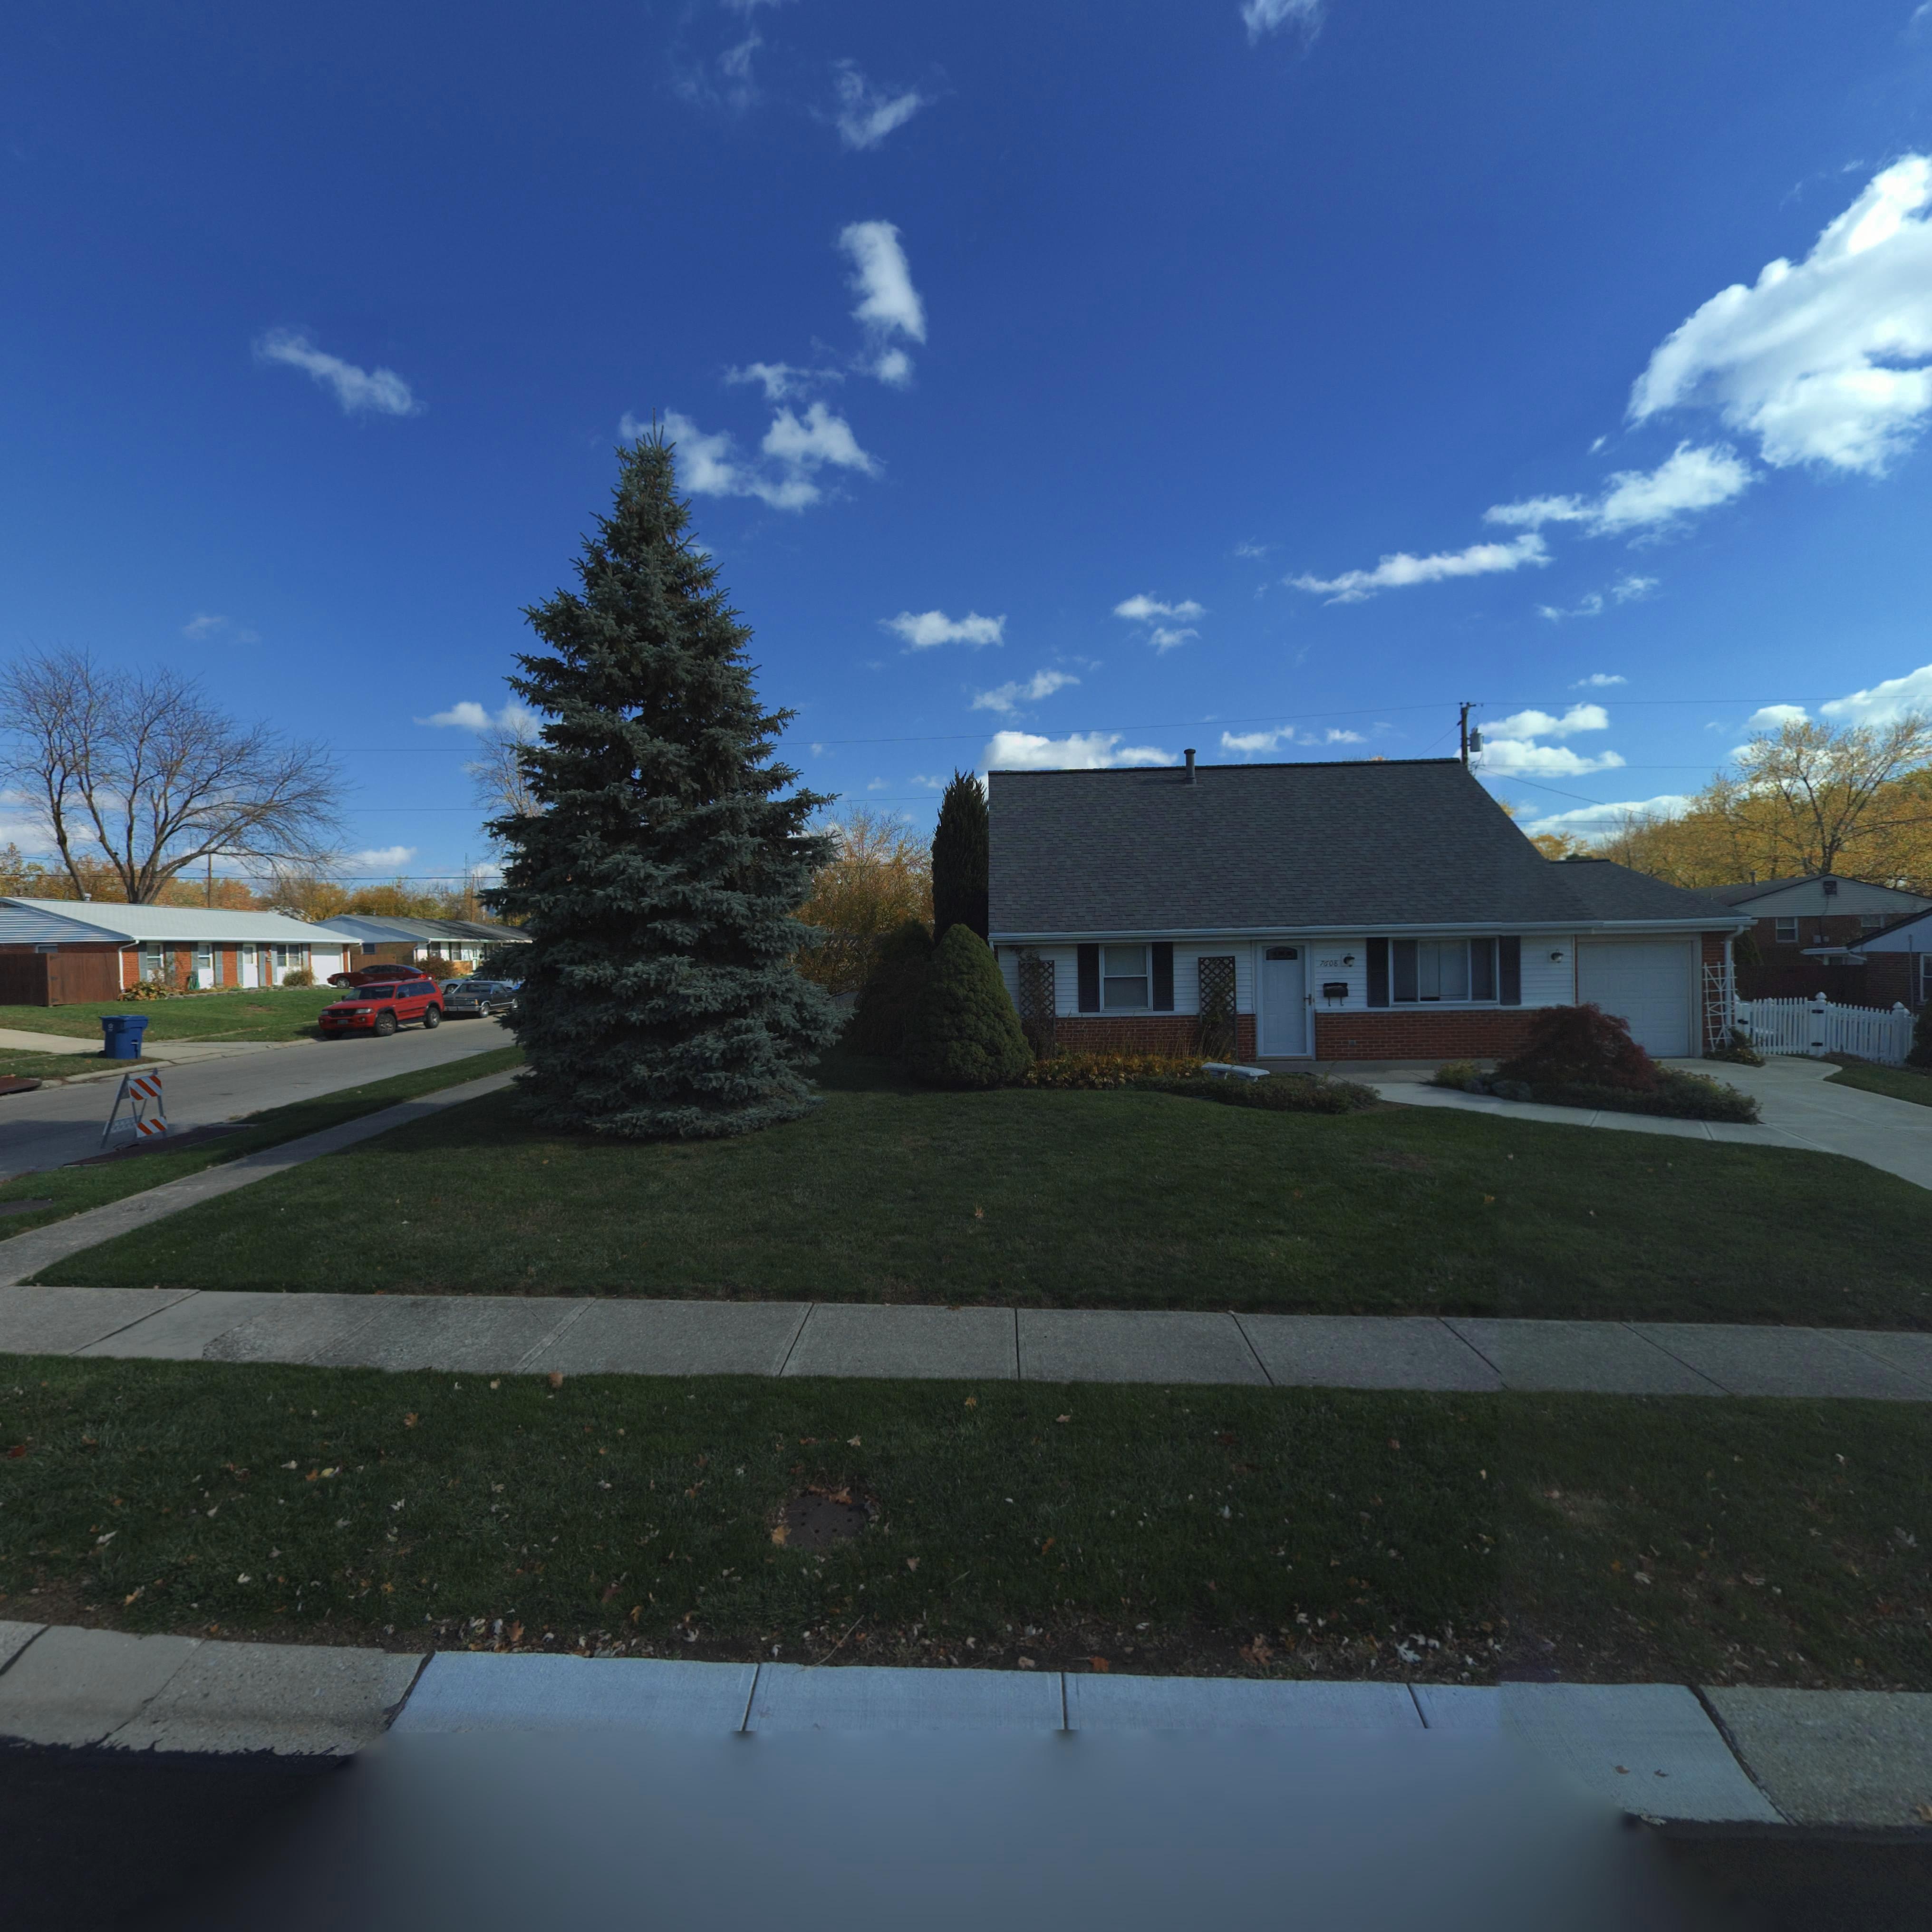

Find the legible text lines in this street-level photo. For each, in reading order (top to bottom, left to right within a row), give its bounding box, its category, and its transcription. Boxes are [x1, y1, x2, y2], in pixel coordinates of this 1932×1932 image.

[1319, 959, 1339, 967] StreetNumber: 7608